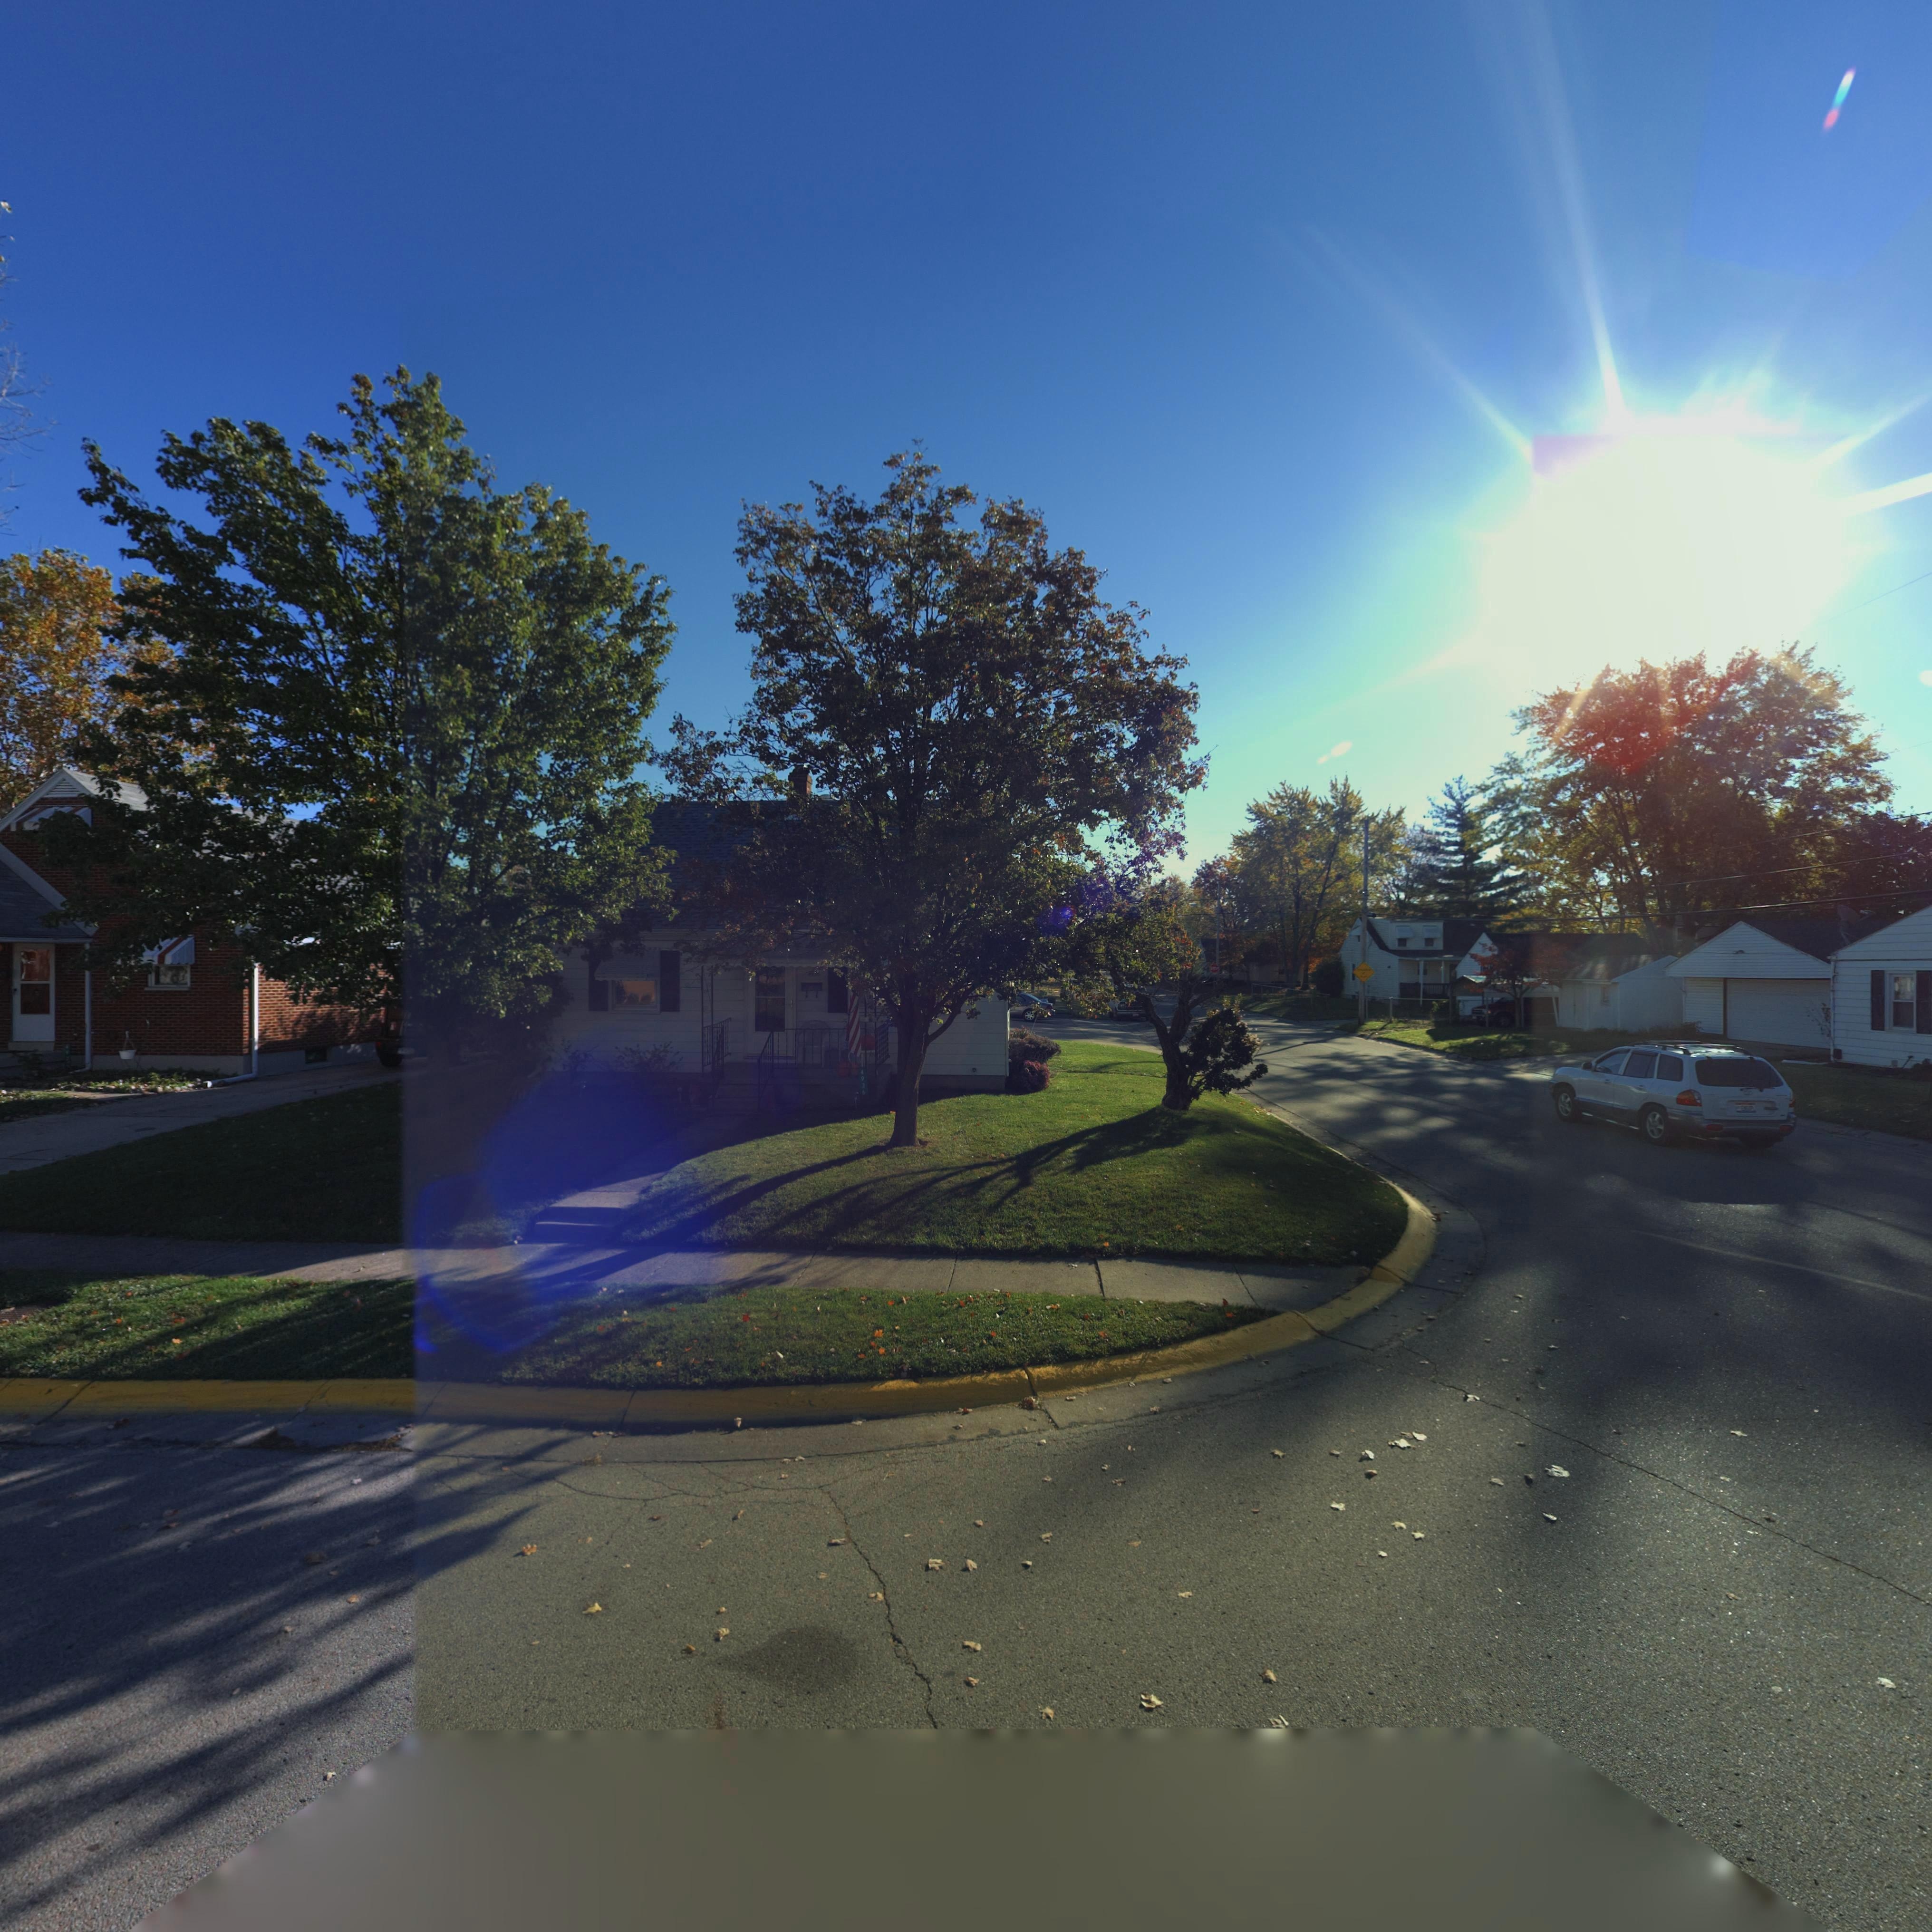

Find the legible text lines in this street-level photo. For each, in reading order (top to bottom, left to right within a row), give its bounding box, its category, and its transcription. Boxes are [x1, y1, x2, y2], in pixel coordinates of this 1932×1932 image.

[859, 1068, 867, 1096] StreetNumber: 4936